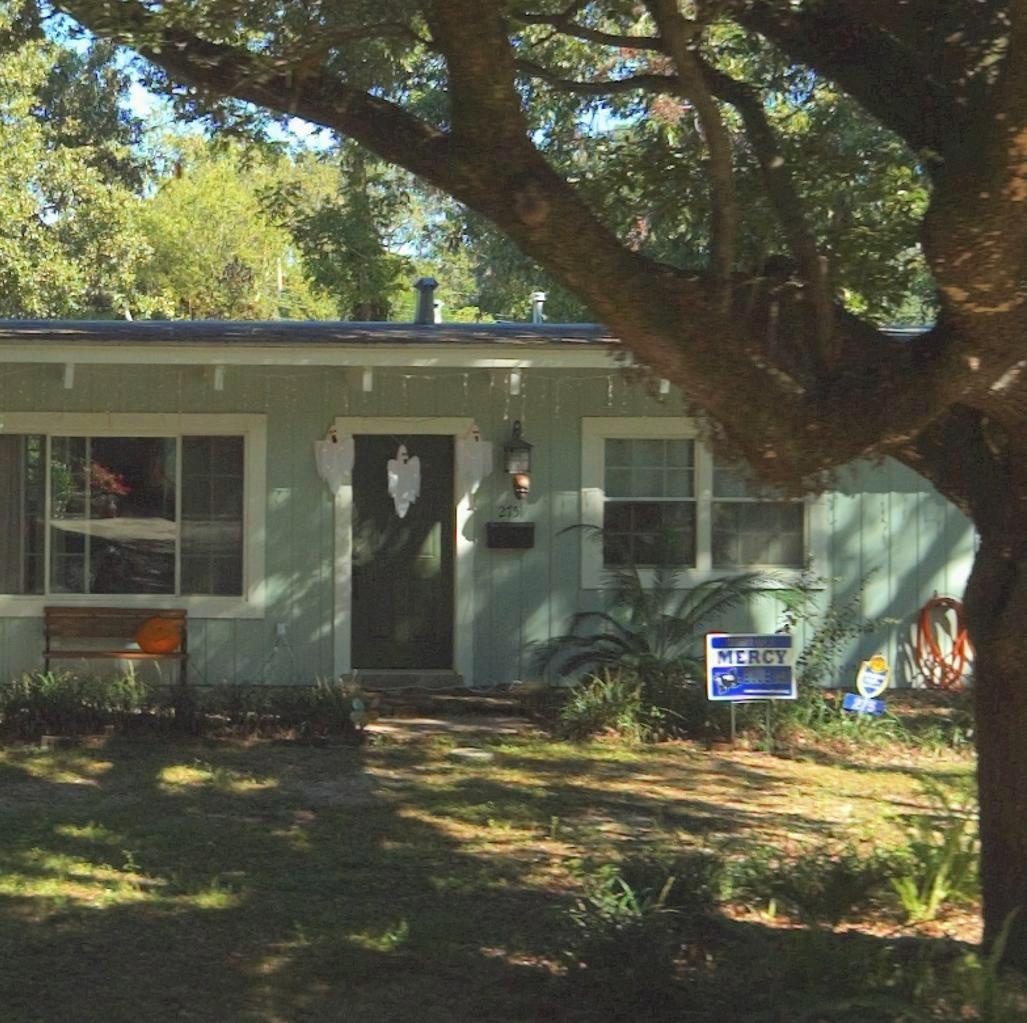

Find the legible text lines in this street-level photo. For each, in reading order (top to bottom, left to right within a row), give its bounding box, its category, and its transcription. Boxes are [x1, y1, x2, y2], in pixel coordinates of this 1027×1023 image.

[496, 504, 521, 519] StreetNumber: 273
[715, 649, 788, 664] None: MERCY
[848, 695, 878, 714] StreetNumber: 273